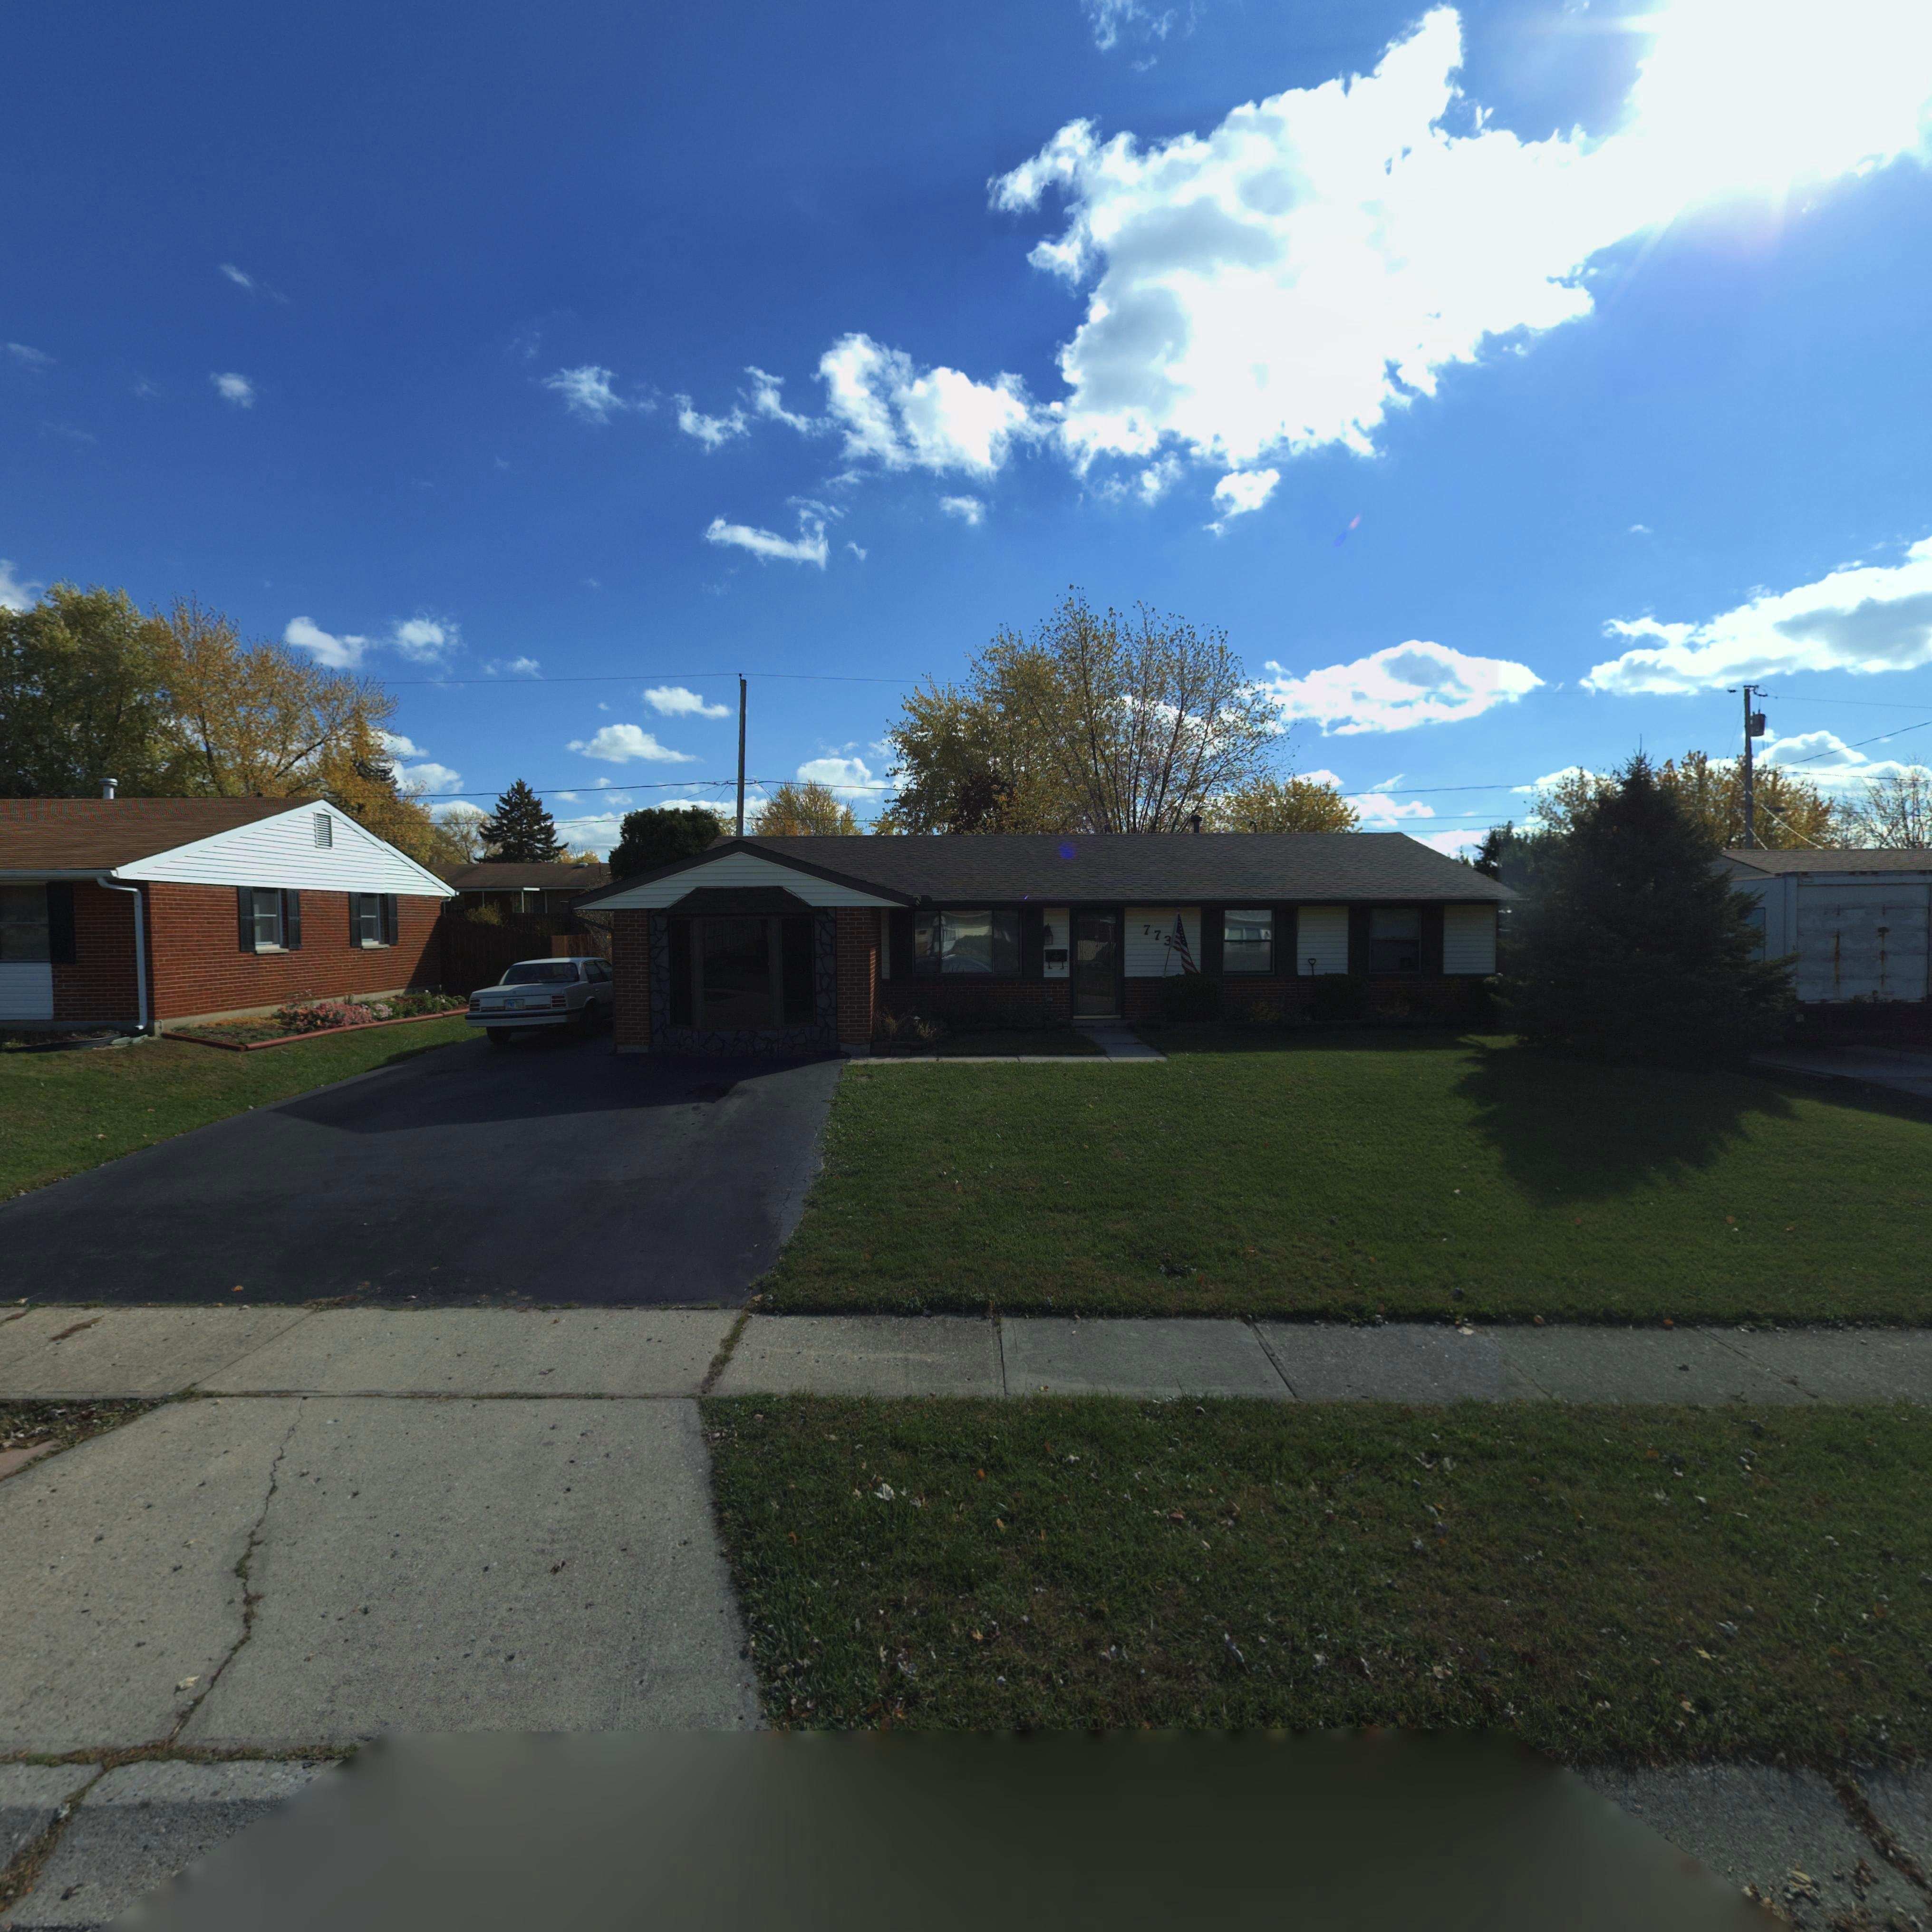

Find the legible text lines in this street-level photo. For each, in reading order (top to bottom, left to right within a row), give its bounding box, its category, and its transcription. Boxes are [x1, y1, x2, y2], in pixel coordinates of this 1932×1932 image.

[1143, 924, 1171, 946] StreetNumber: 773